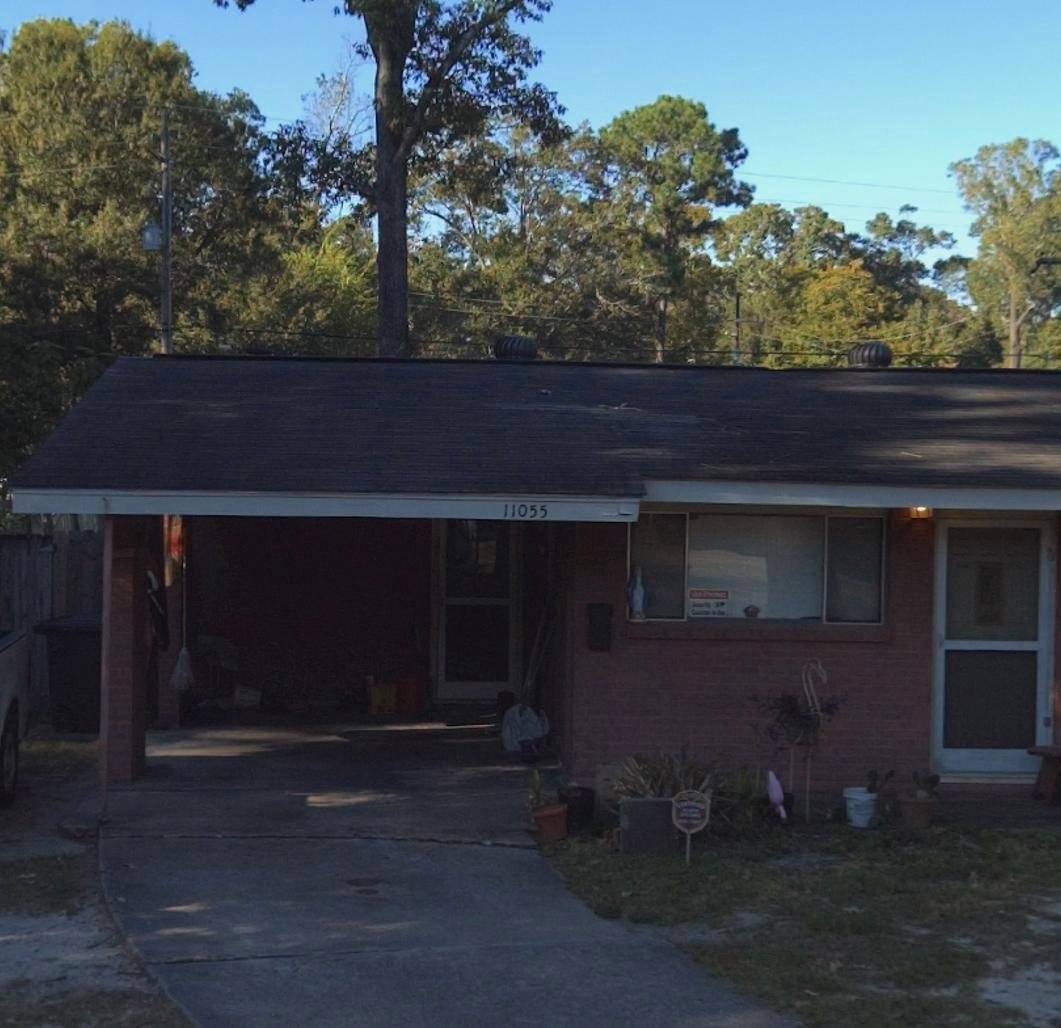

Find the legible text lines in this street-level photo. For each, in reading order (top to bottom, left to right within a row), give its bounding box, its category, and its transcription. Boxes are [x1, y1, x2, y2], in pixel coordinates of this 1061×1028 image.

[502, 502, 549, 519] StreetNumber: 11055